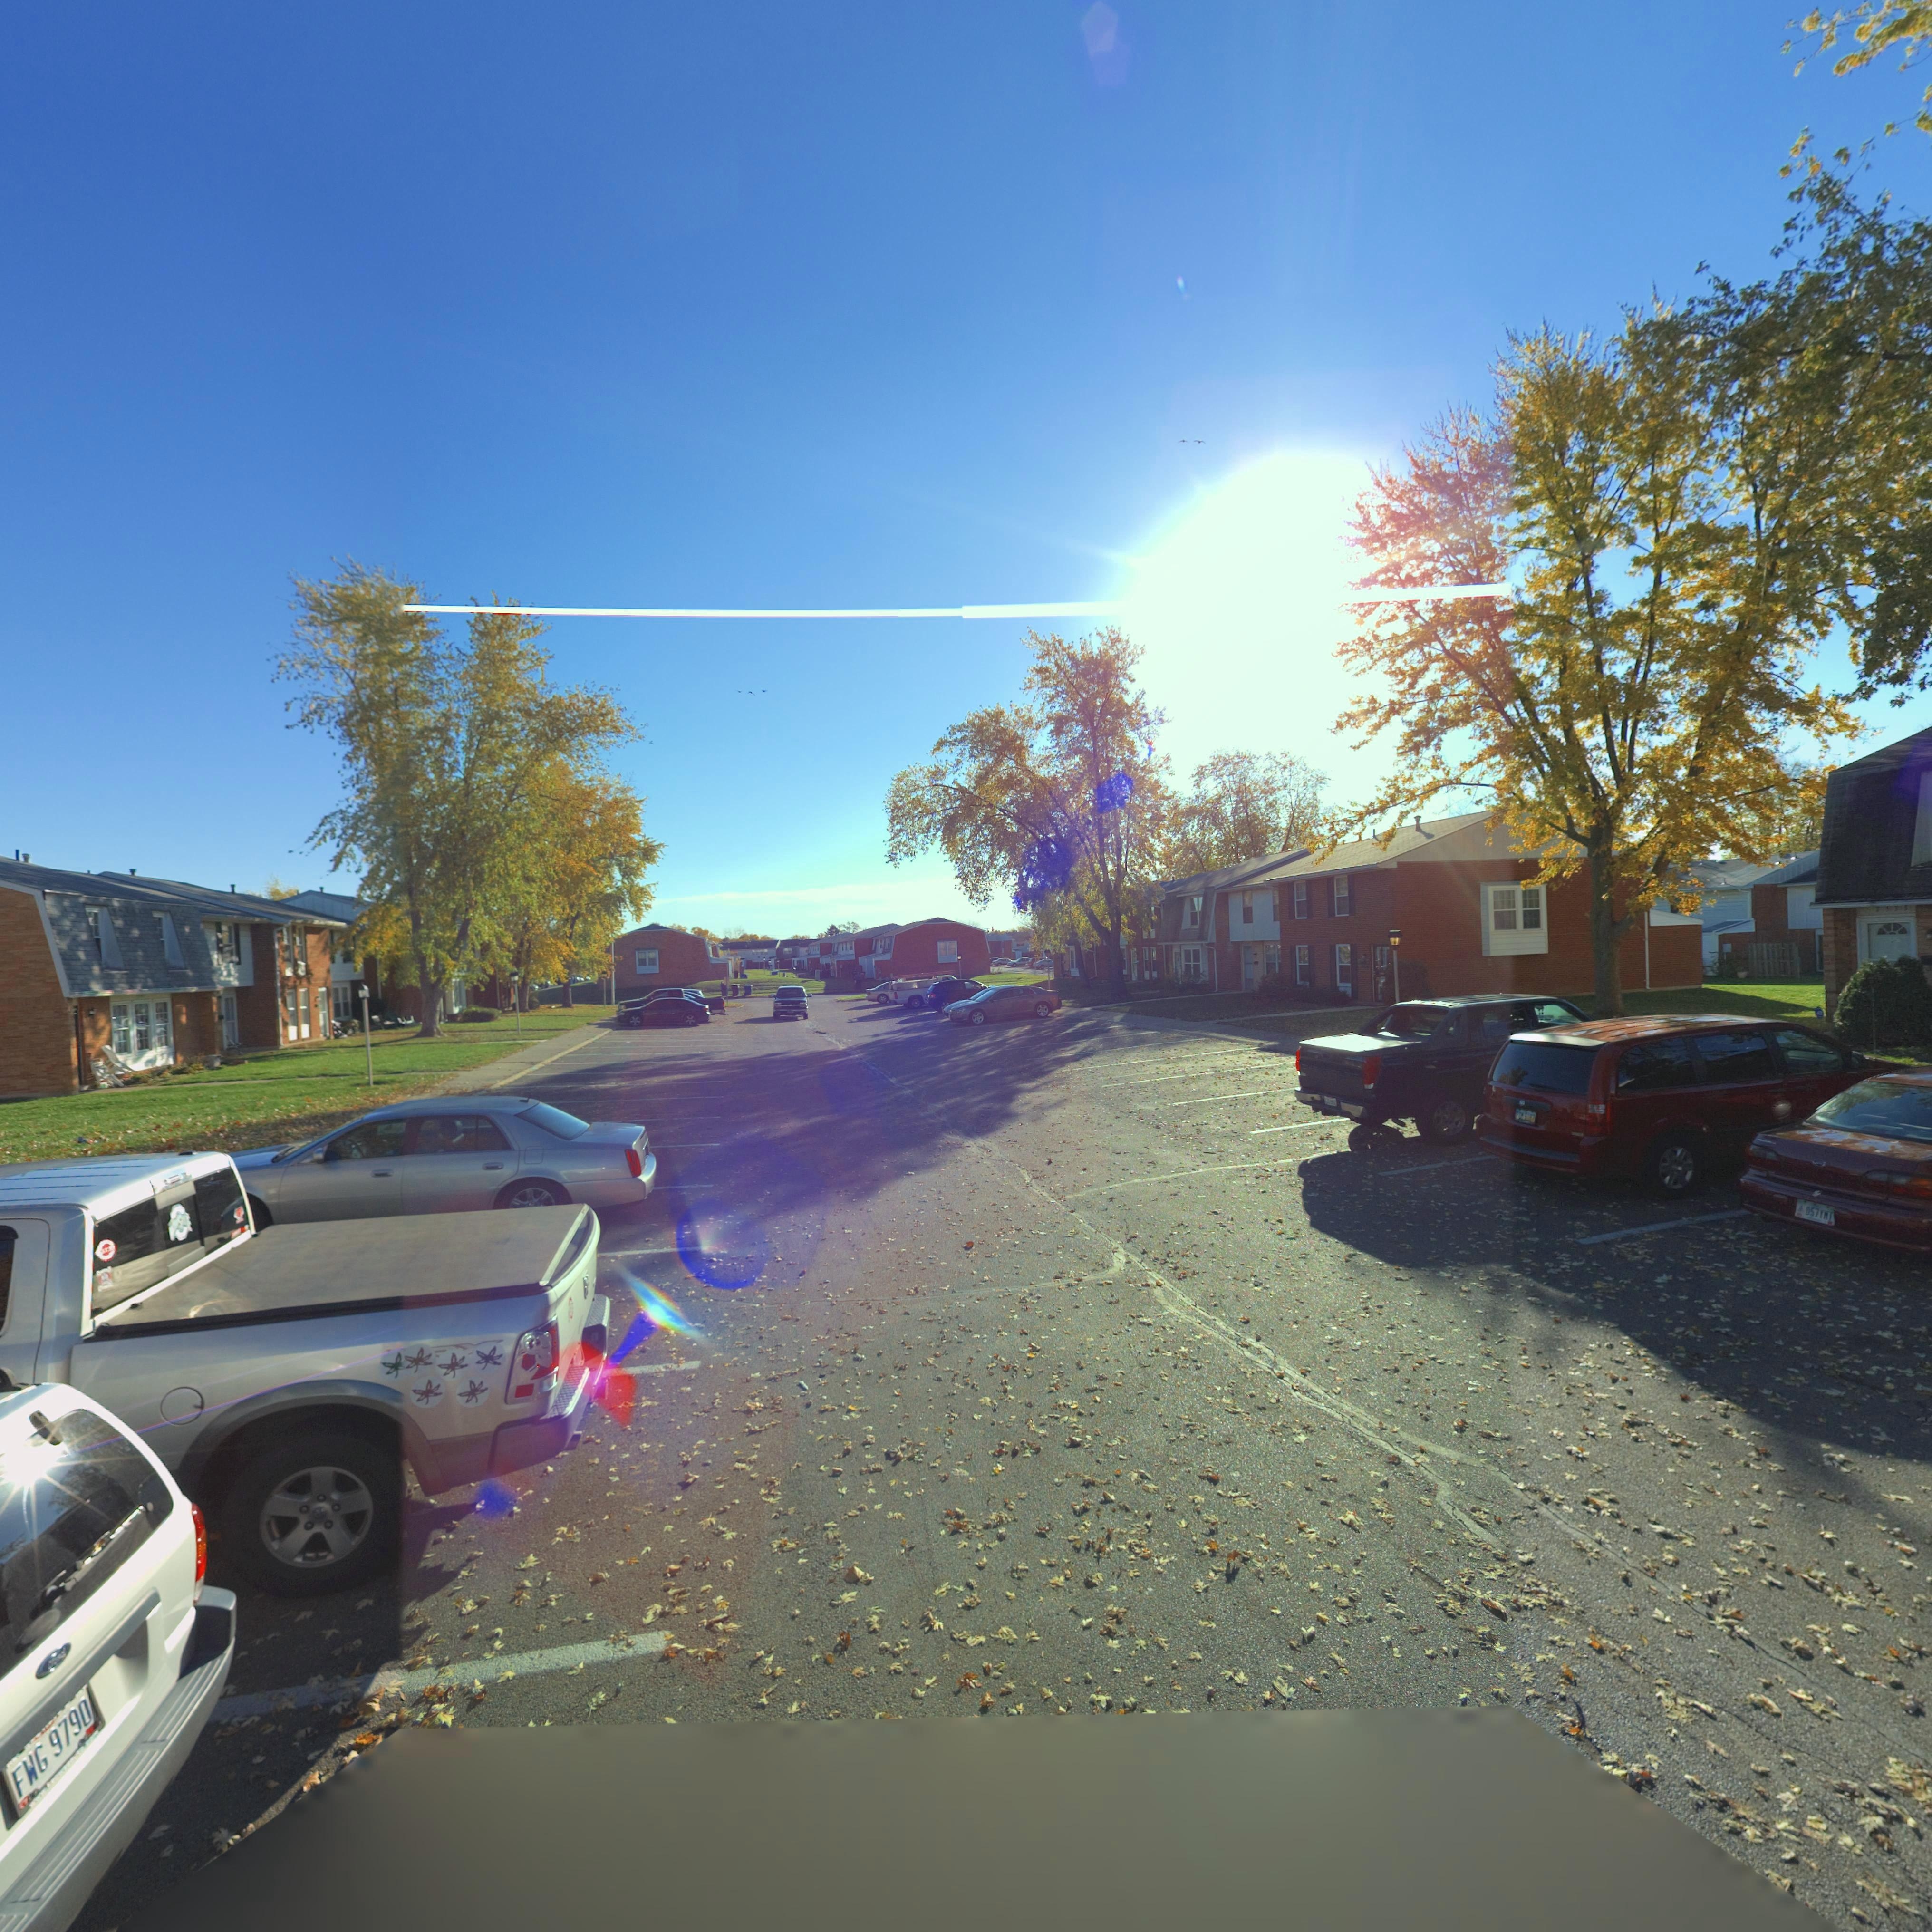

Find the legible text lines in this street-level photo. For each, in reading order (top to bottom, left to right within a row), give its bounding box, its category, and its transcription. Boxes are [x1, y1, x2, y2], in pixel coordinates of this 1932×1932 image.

[1874, 904, 1909, 913] StreetNumber: 7533